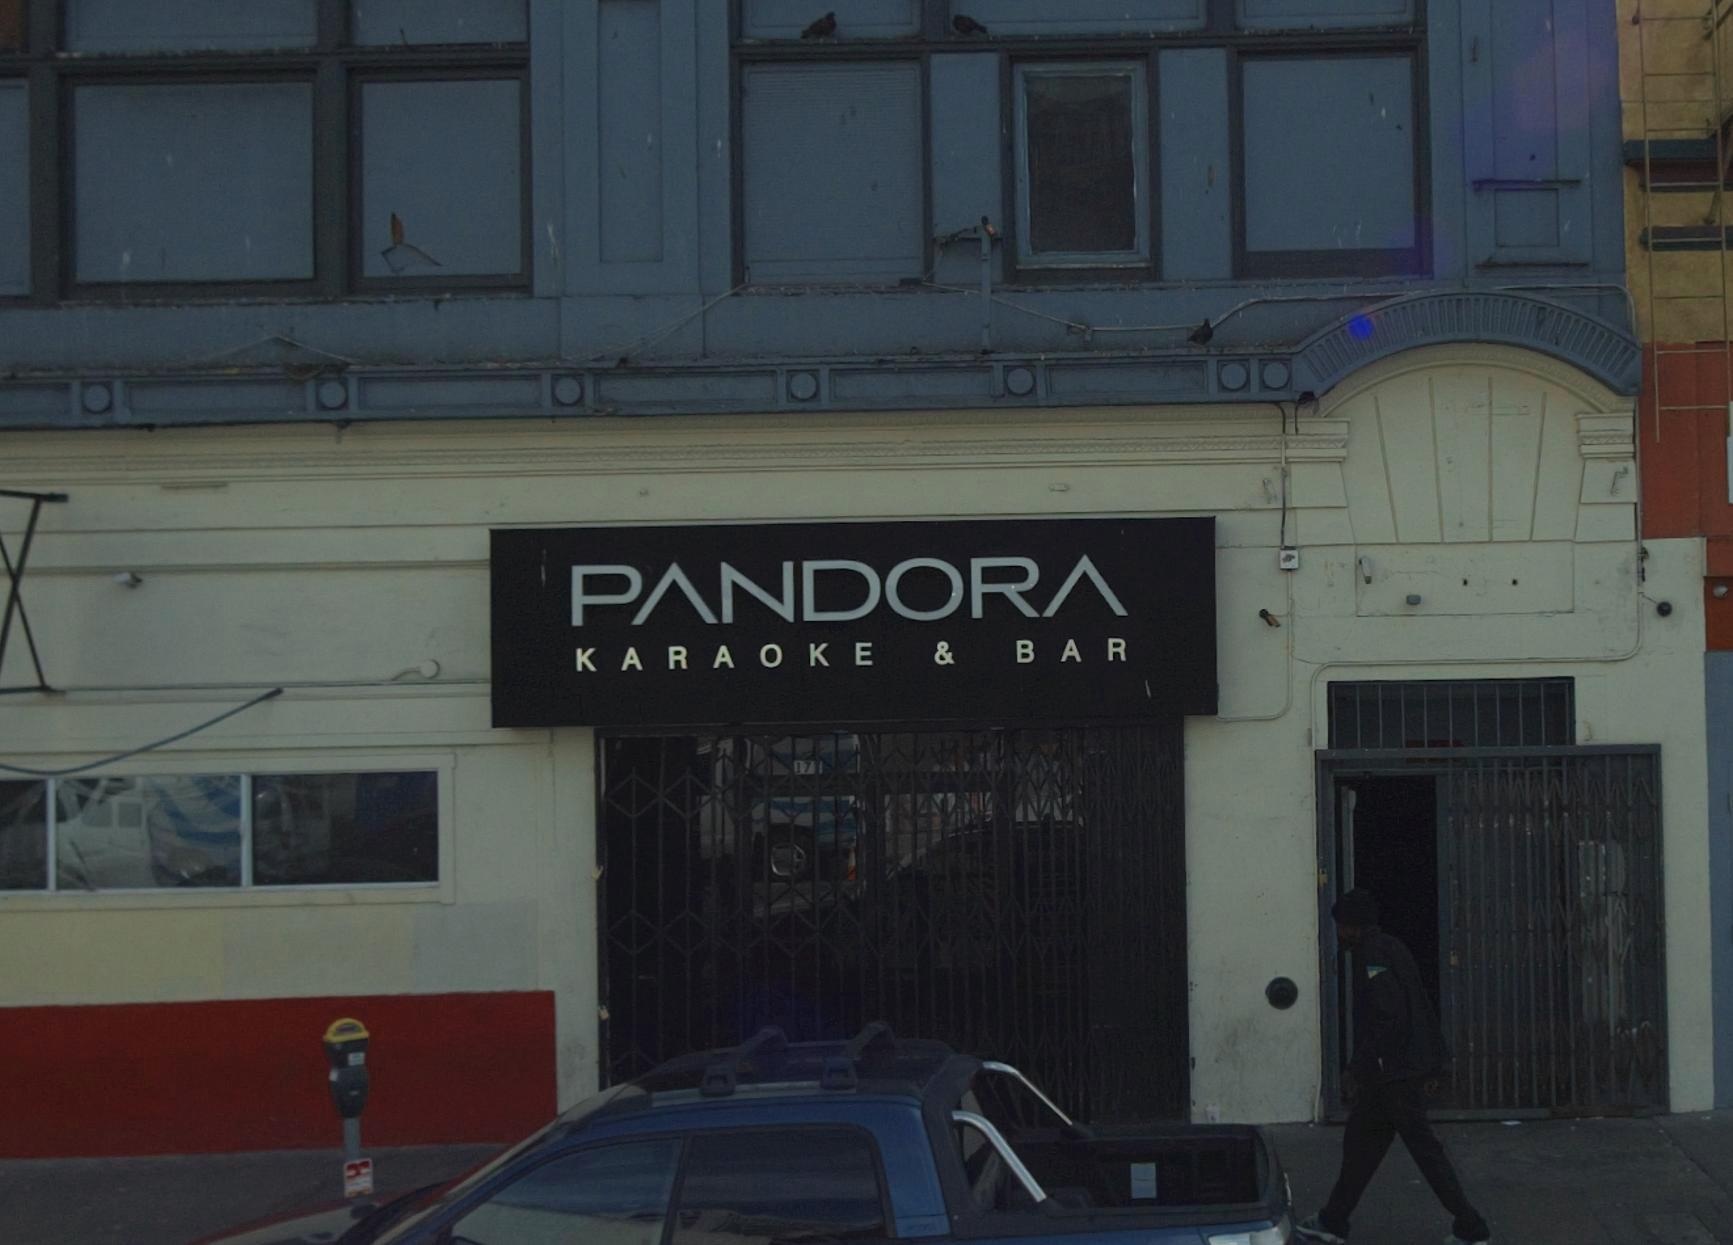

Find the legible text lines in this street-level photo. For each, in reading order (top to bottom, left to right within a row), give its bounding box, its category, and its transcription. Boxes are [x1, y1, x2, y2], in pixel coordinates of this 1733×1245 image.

[566, 549, 1139, 631] BusinessName: PANDORA
[572, 635, 1132, 677] BusinessName: KARAOKE & BAR
[792, 758, 814, 776] StreetNumber: 17